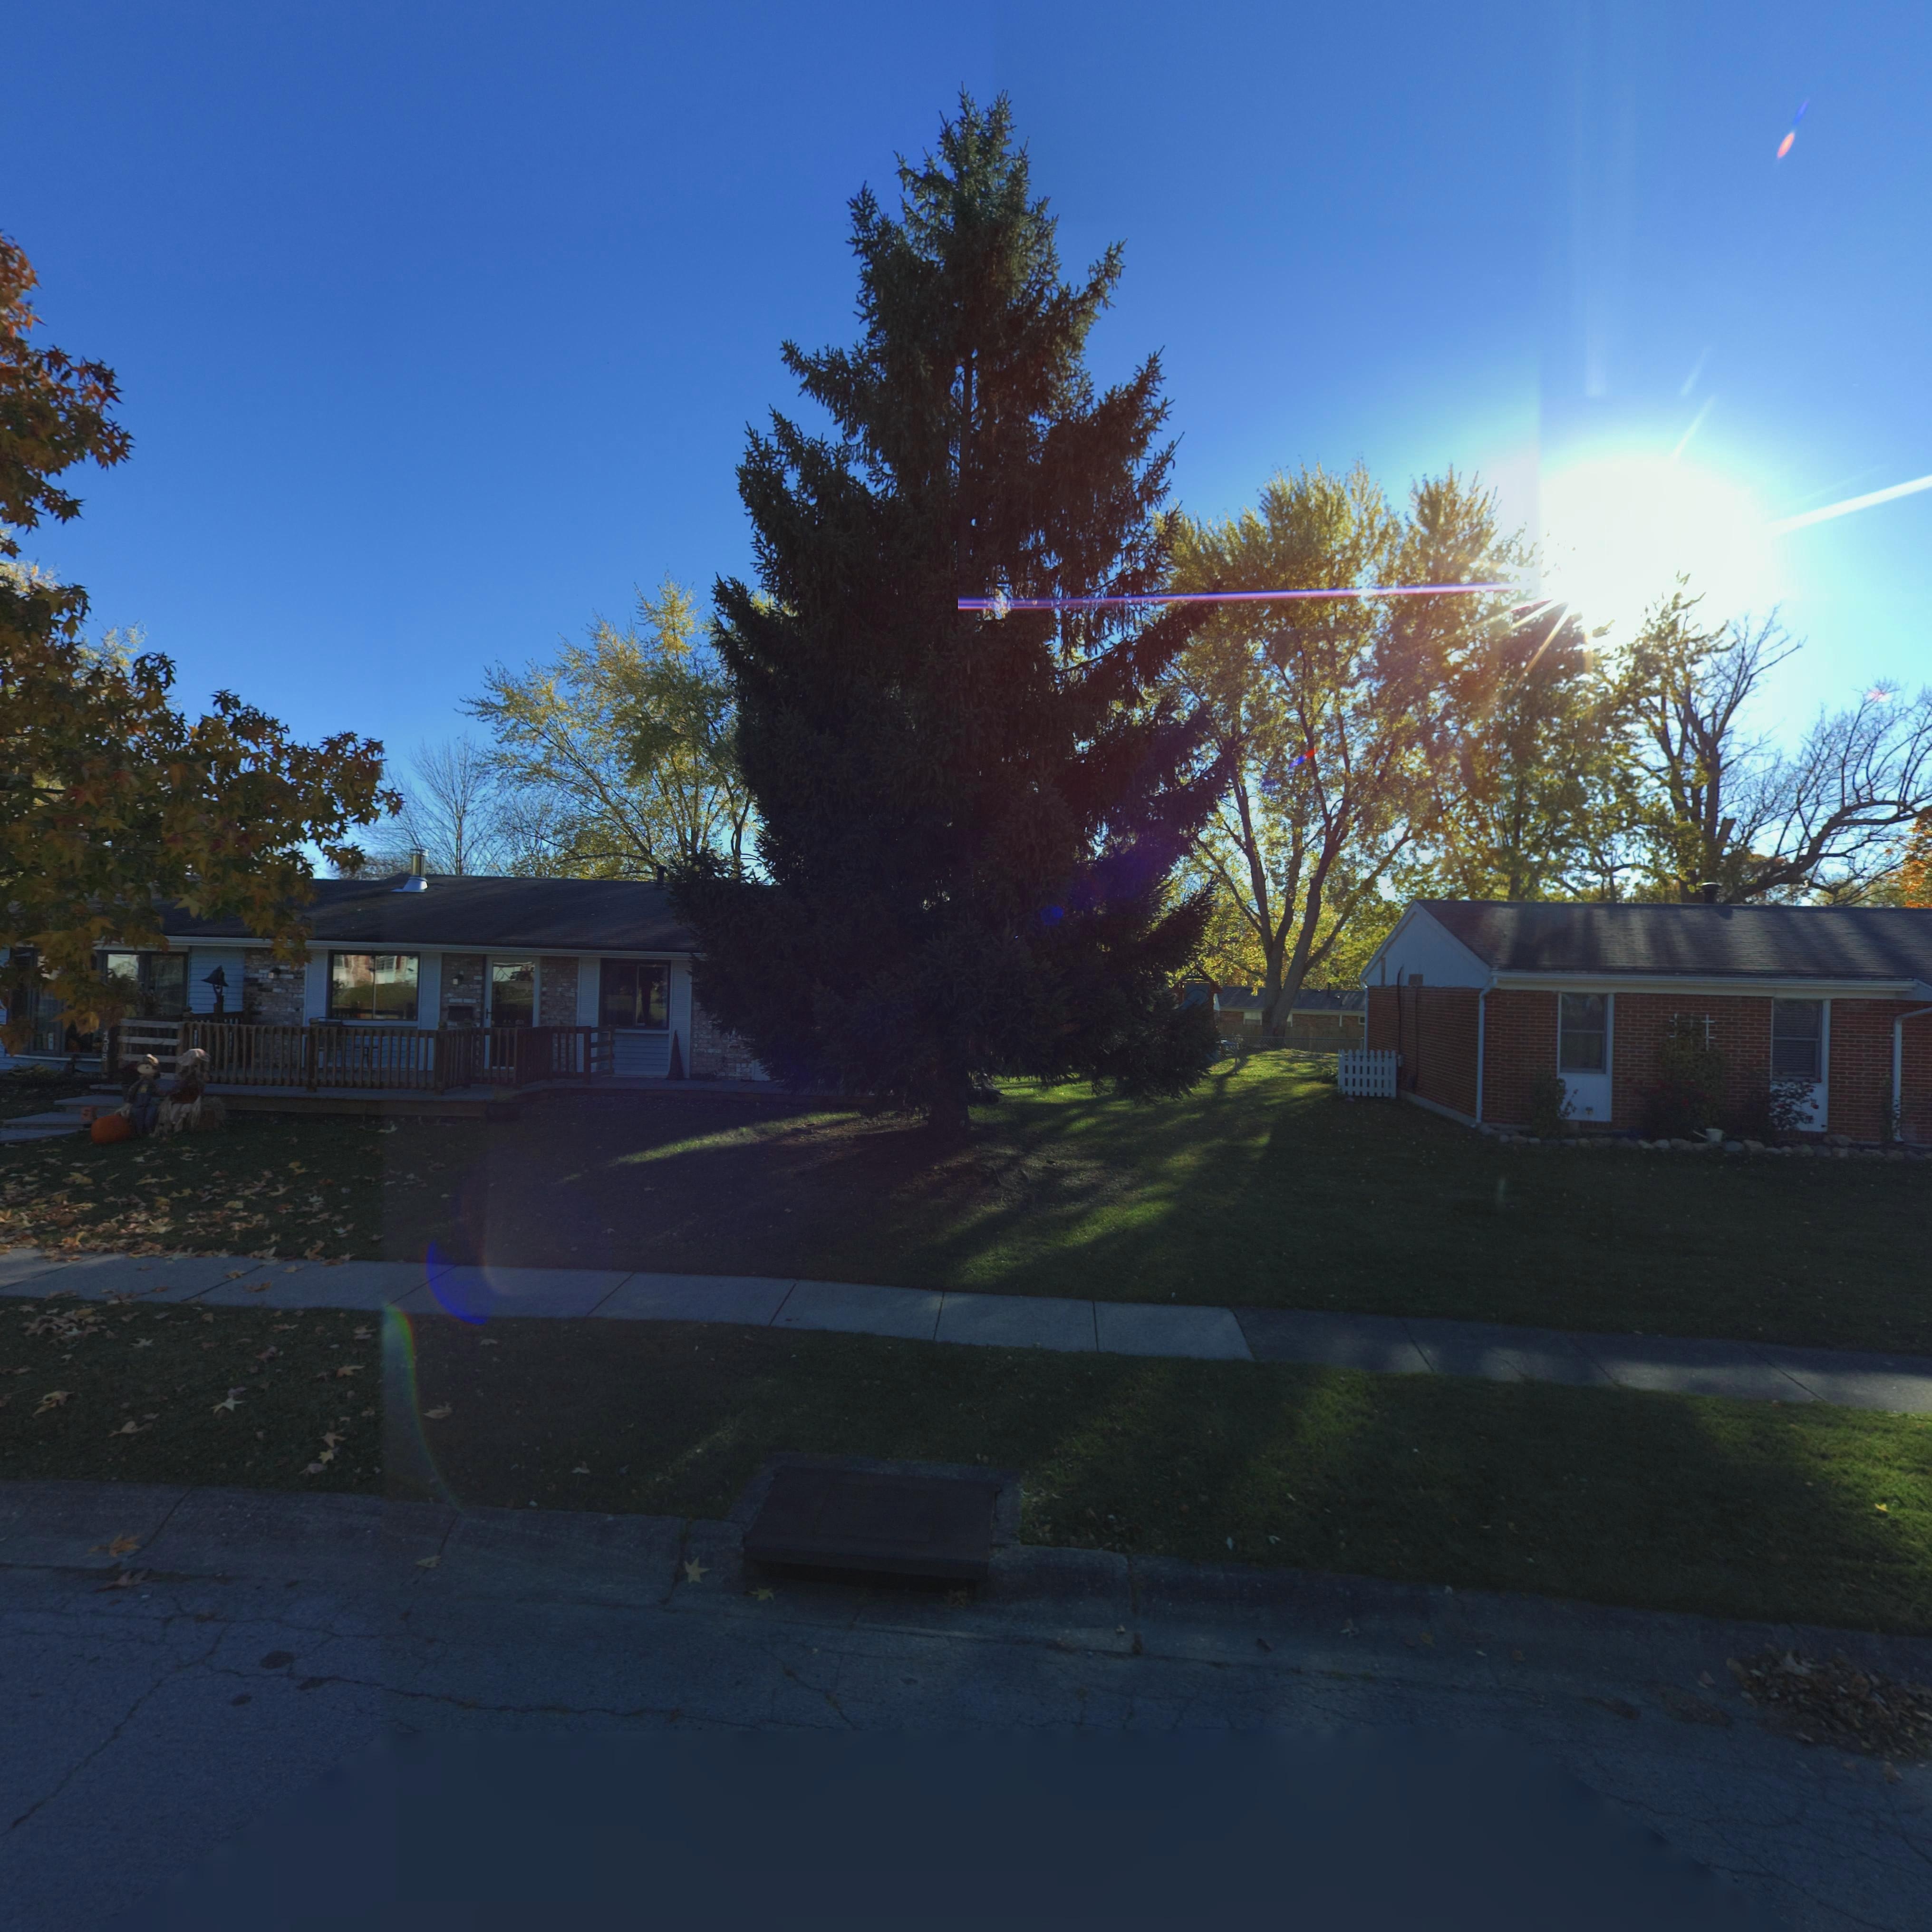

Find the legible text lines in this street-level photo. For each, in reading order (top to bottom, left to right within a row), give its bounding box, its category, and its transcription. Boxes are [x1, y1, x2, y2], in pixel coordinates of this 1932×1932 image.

[100, 1028, 110, 1062] StreetNumber: 4508